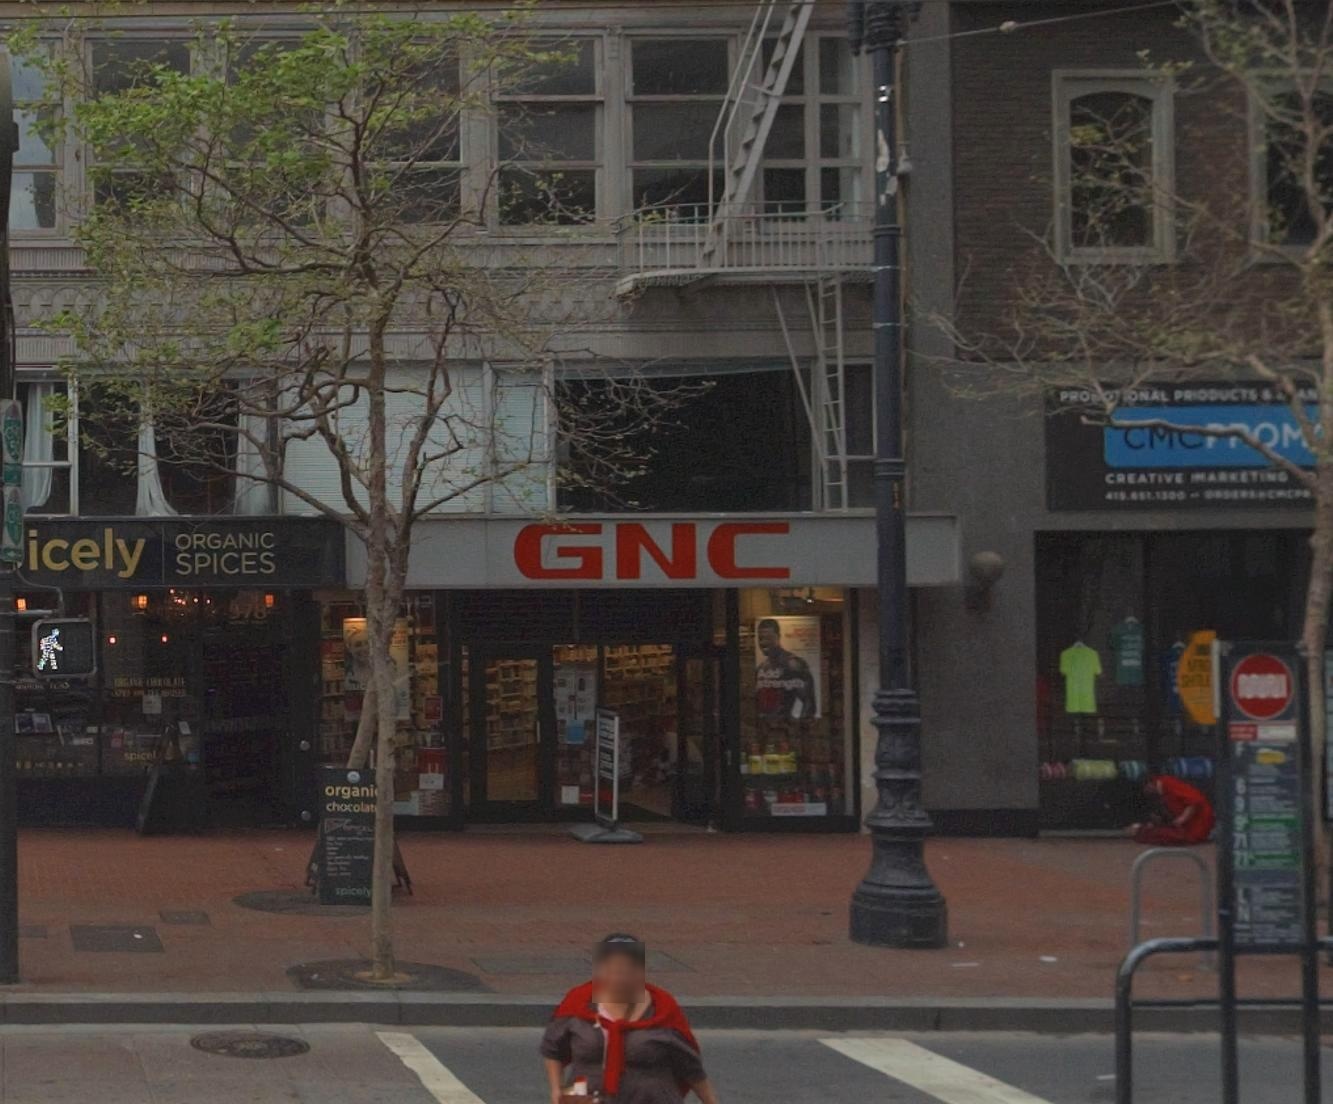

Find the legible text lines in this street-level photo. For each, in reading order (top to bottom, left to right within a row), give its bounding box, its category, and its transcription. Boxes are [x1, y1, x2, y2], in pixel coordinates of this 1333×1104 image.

[1057, 387, 1092, 404] None: PRO
[1137, 385, 1261, 404] None: NAL
[1102, 466, 1292, 487] None: CREATIVE MARKETING
[1103, 488, 1128, 503] None: 415
[25, 525, 153, 582] BusinessName: icely
[171, 529, 278, 553] None: ORGANIC
[173, 549, 279, 579] None: SPICES
[510, 518, 795, 584] BusinessName: GNC
[226, 599, 270, 622] StreetNumber: 978
[755, 666, 782, 679] None: Add
[754, 676, 808, 693] None: strength
[1233, 737, 1248, 759] None: F
[323, 781, 377, 802] None: organi
[1232, 774, 1251, 796] None: 6
[322, 797, 376, 816] None: chocolat
[1231, 793, 1249, 814] None: 9
[1231, 812, 1251, 833] None: 9
[1230, 831, 1250, 850] None: 71
[1230, 848, 1253, 869] None: 71
[1233, 885, 1251, 907] None: L
[1234, 903, 1253, 924] None: N